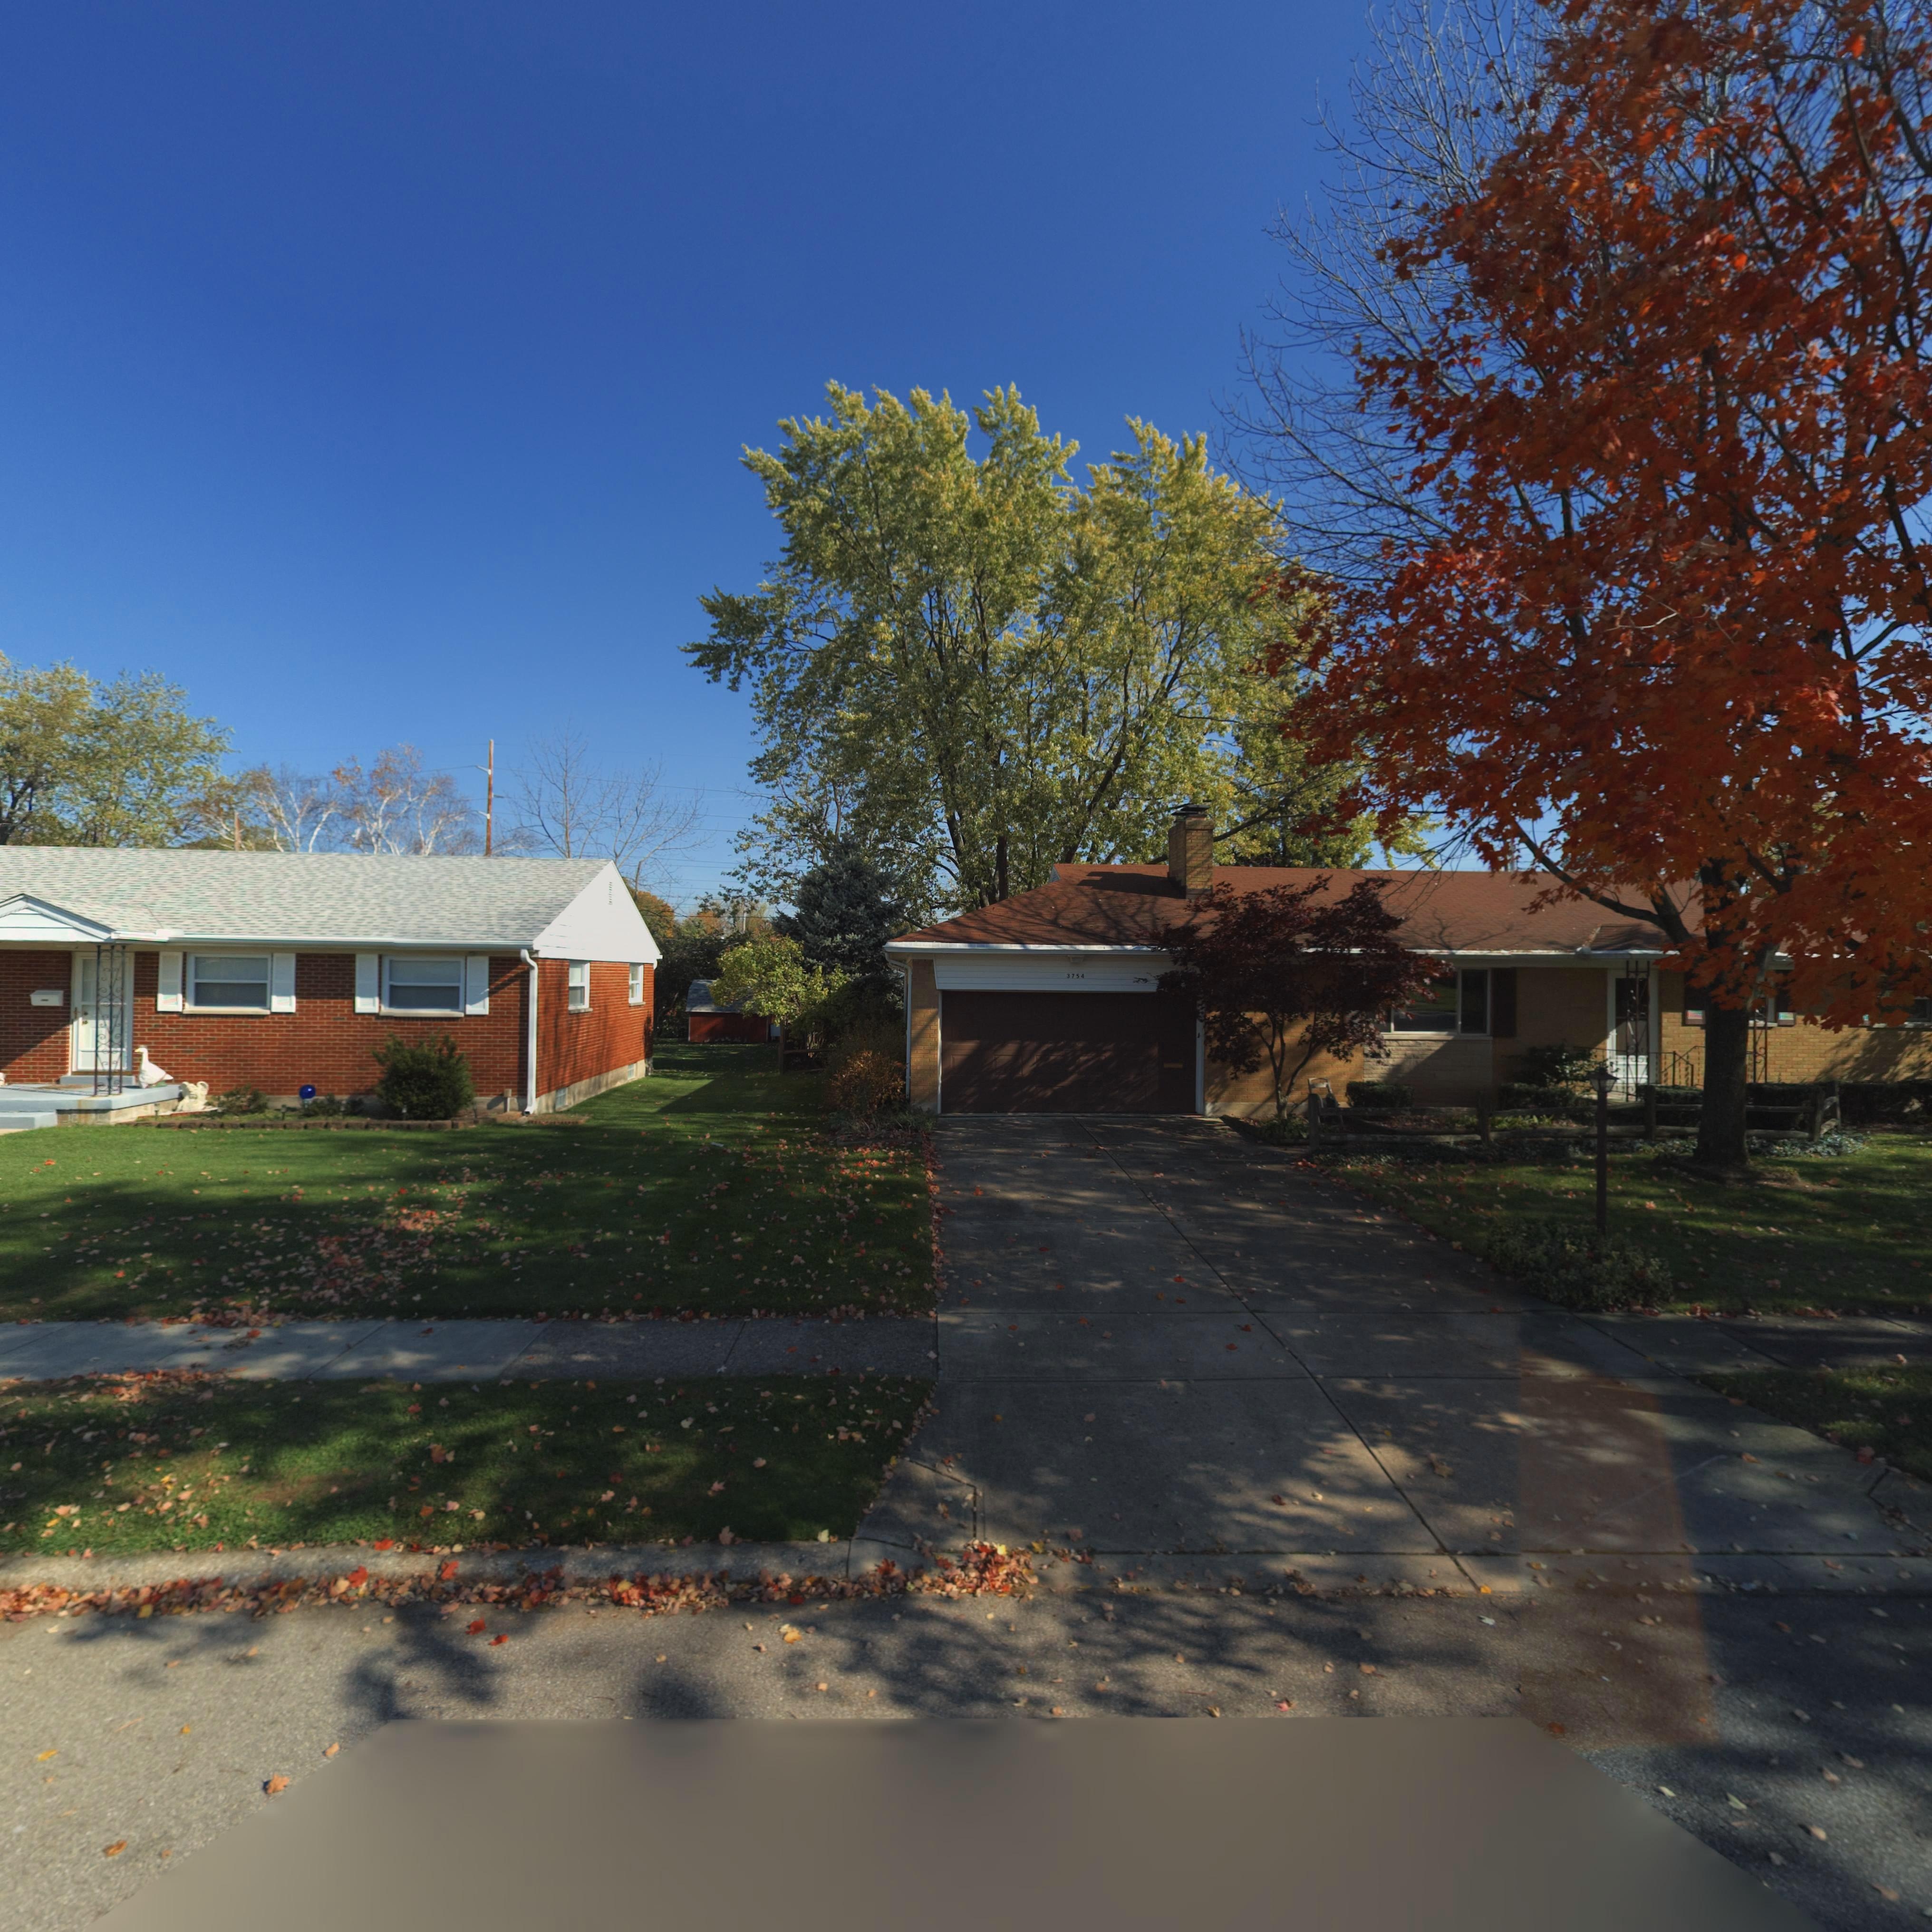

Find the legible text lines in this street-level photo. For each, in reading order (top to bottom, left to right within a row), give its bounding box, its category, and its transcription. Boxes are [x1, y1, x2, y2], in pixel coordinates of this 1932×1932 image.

[1066, 973, 1085, 979] StreetNumber: 3754